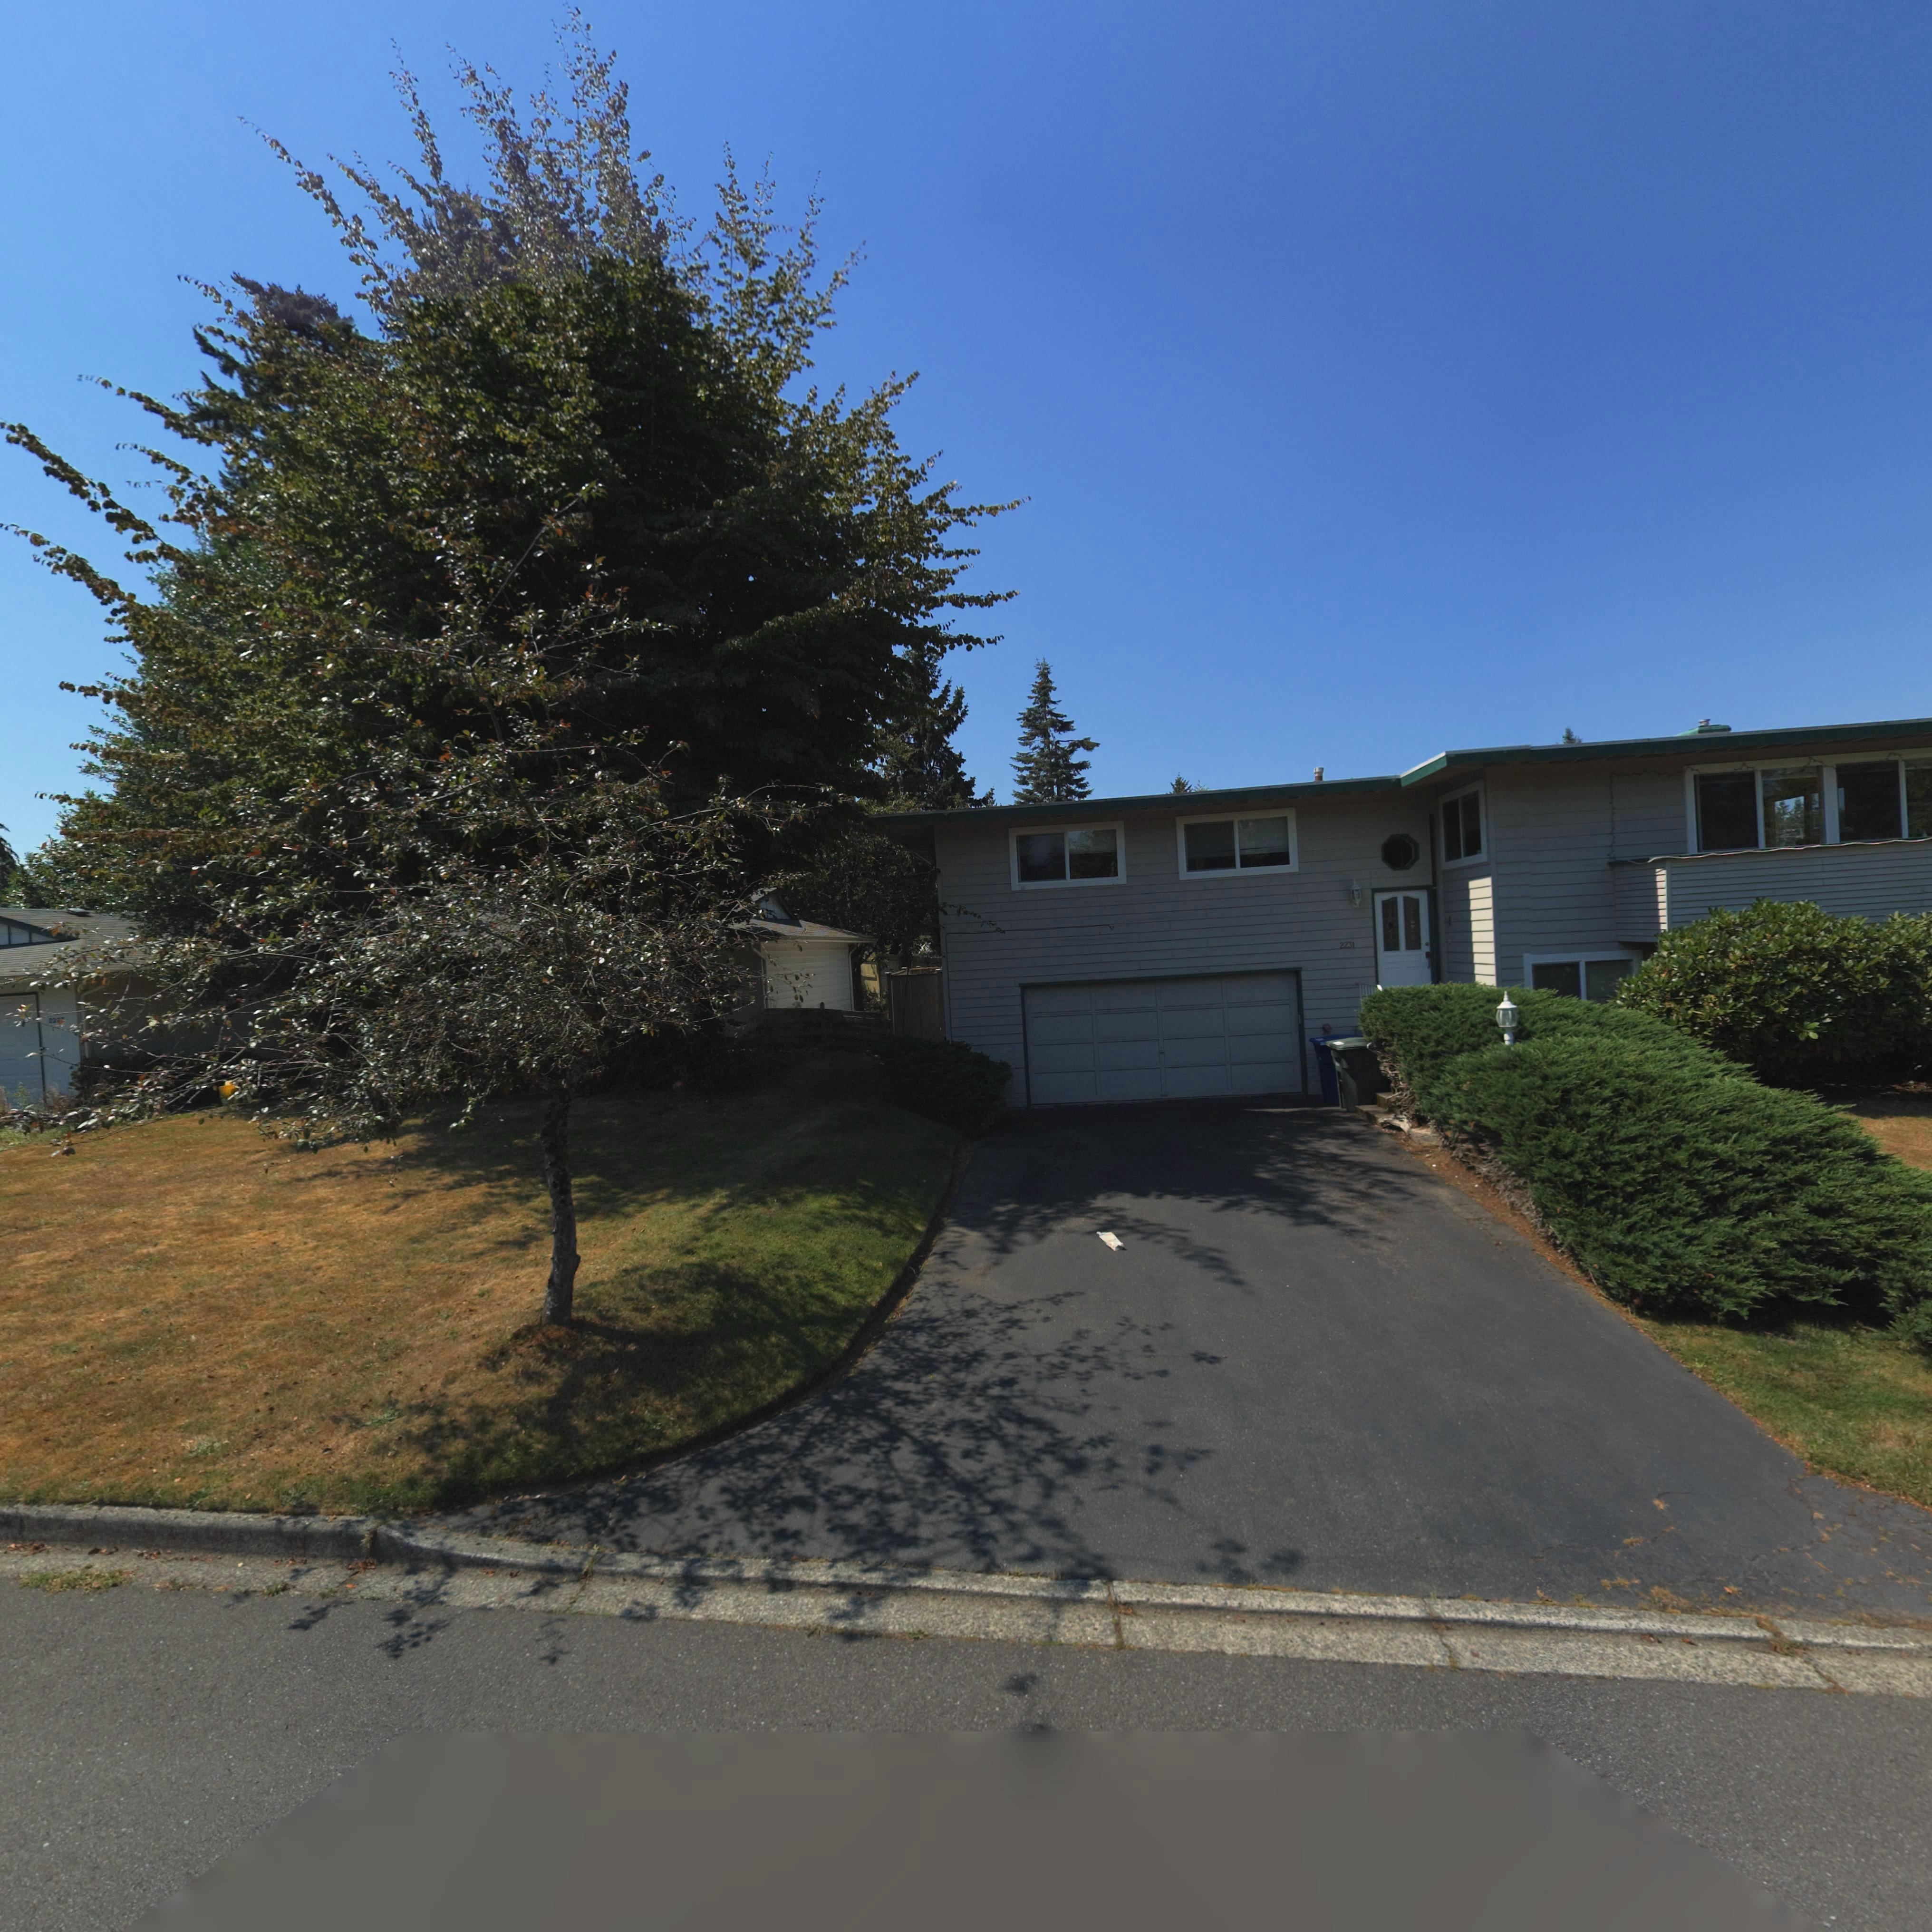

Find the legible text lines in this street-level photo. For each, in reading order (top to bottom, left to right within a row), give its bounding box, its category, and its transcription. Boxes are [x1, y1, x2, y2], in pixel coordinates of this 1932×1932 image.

[1339, 940, 1355, 948] StreetNumber: 2231